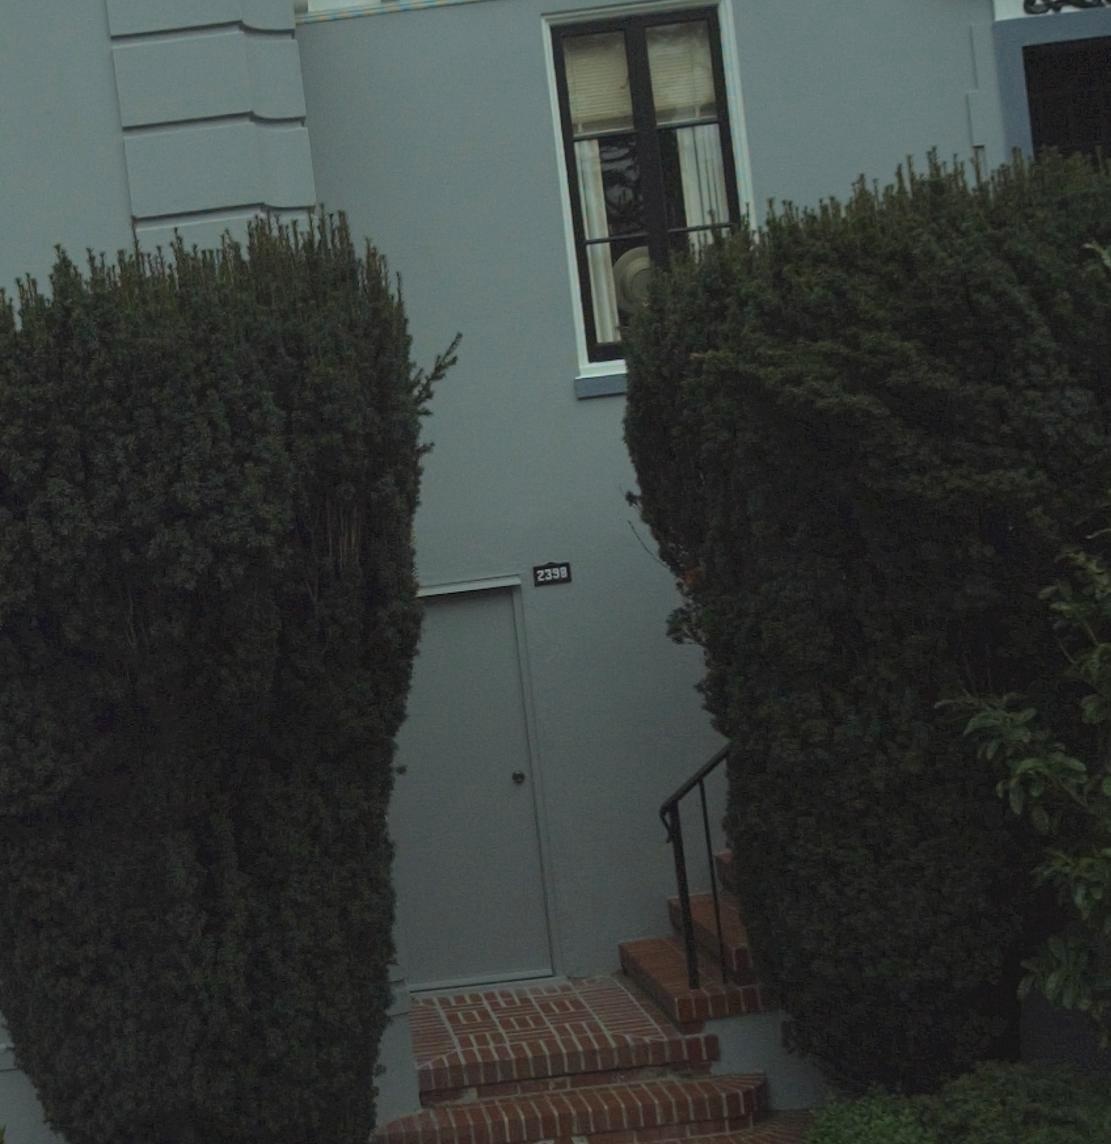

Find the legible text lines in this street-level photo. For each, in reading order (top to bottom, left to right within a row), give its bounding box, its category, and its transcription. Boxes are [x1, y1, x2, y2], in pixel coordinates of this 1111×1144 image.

[535, 564, 570, 583] StreetNumber: 2398